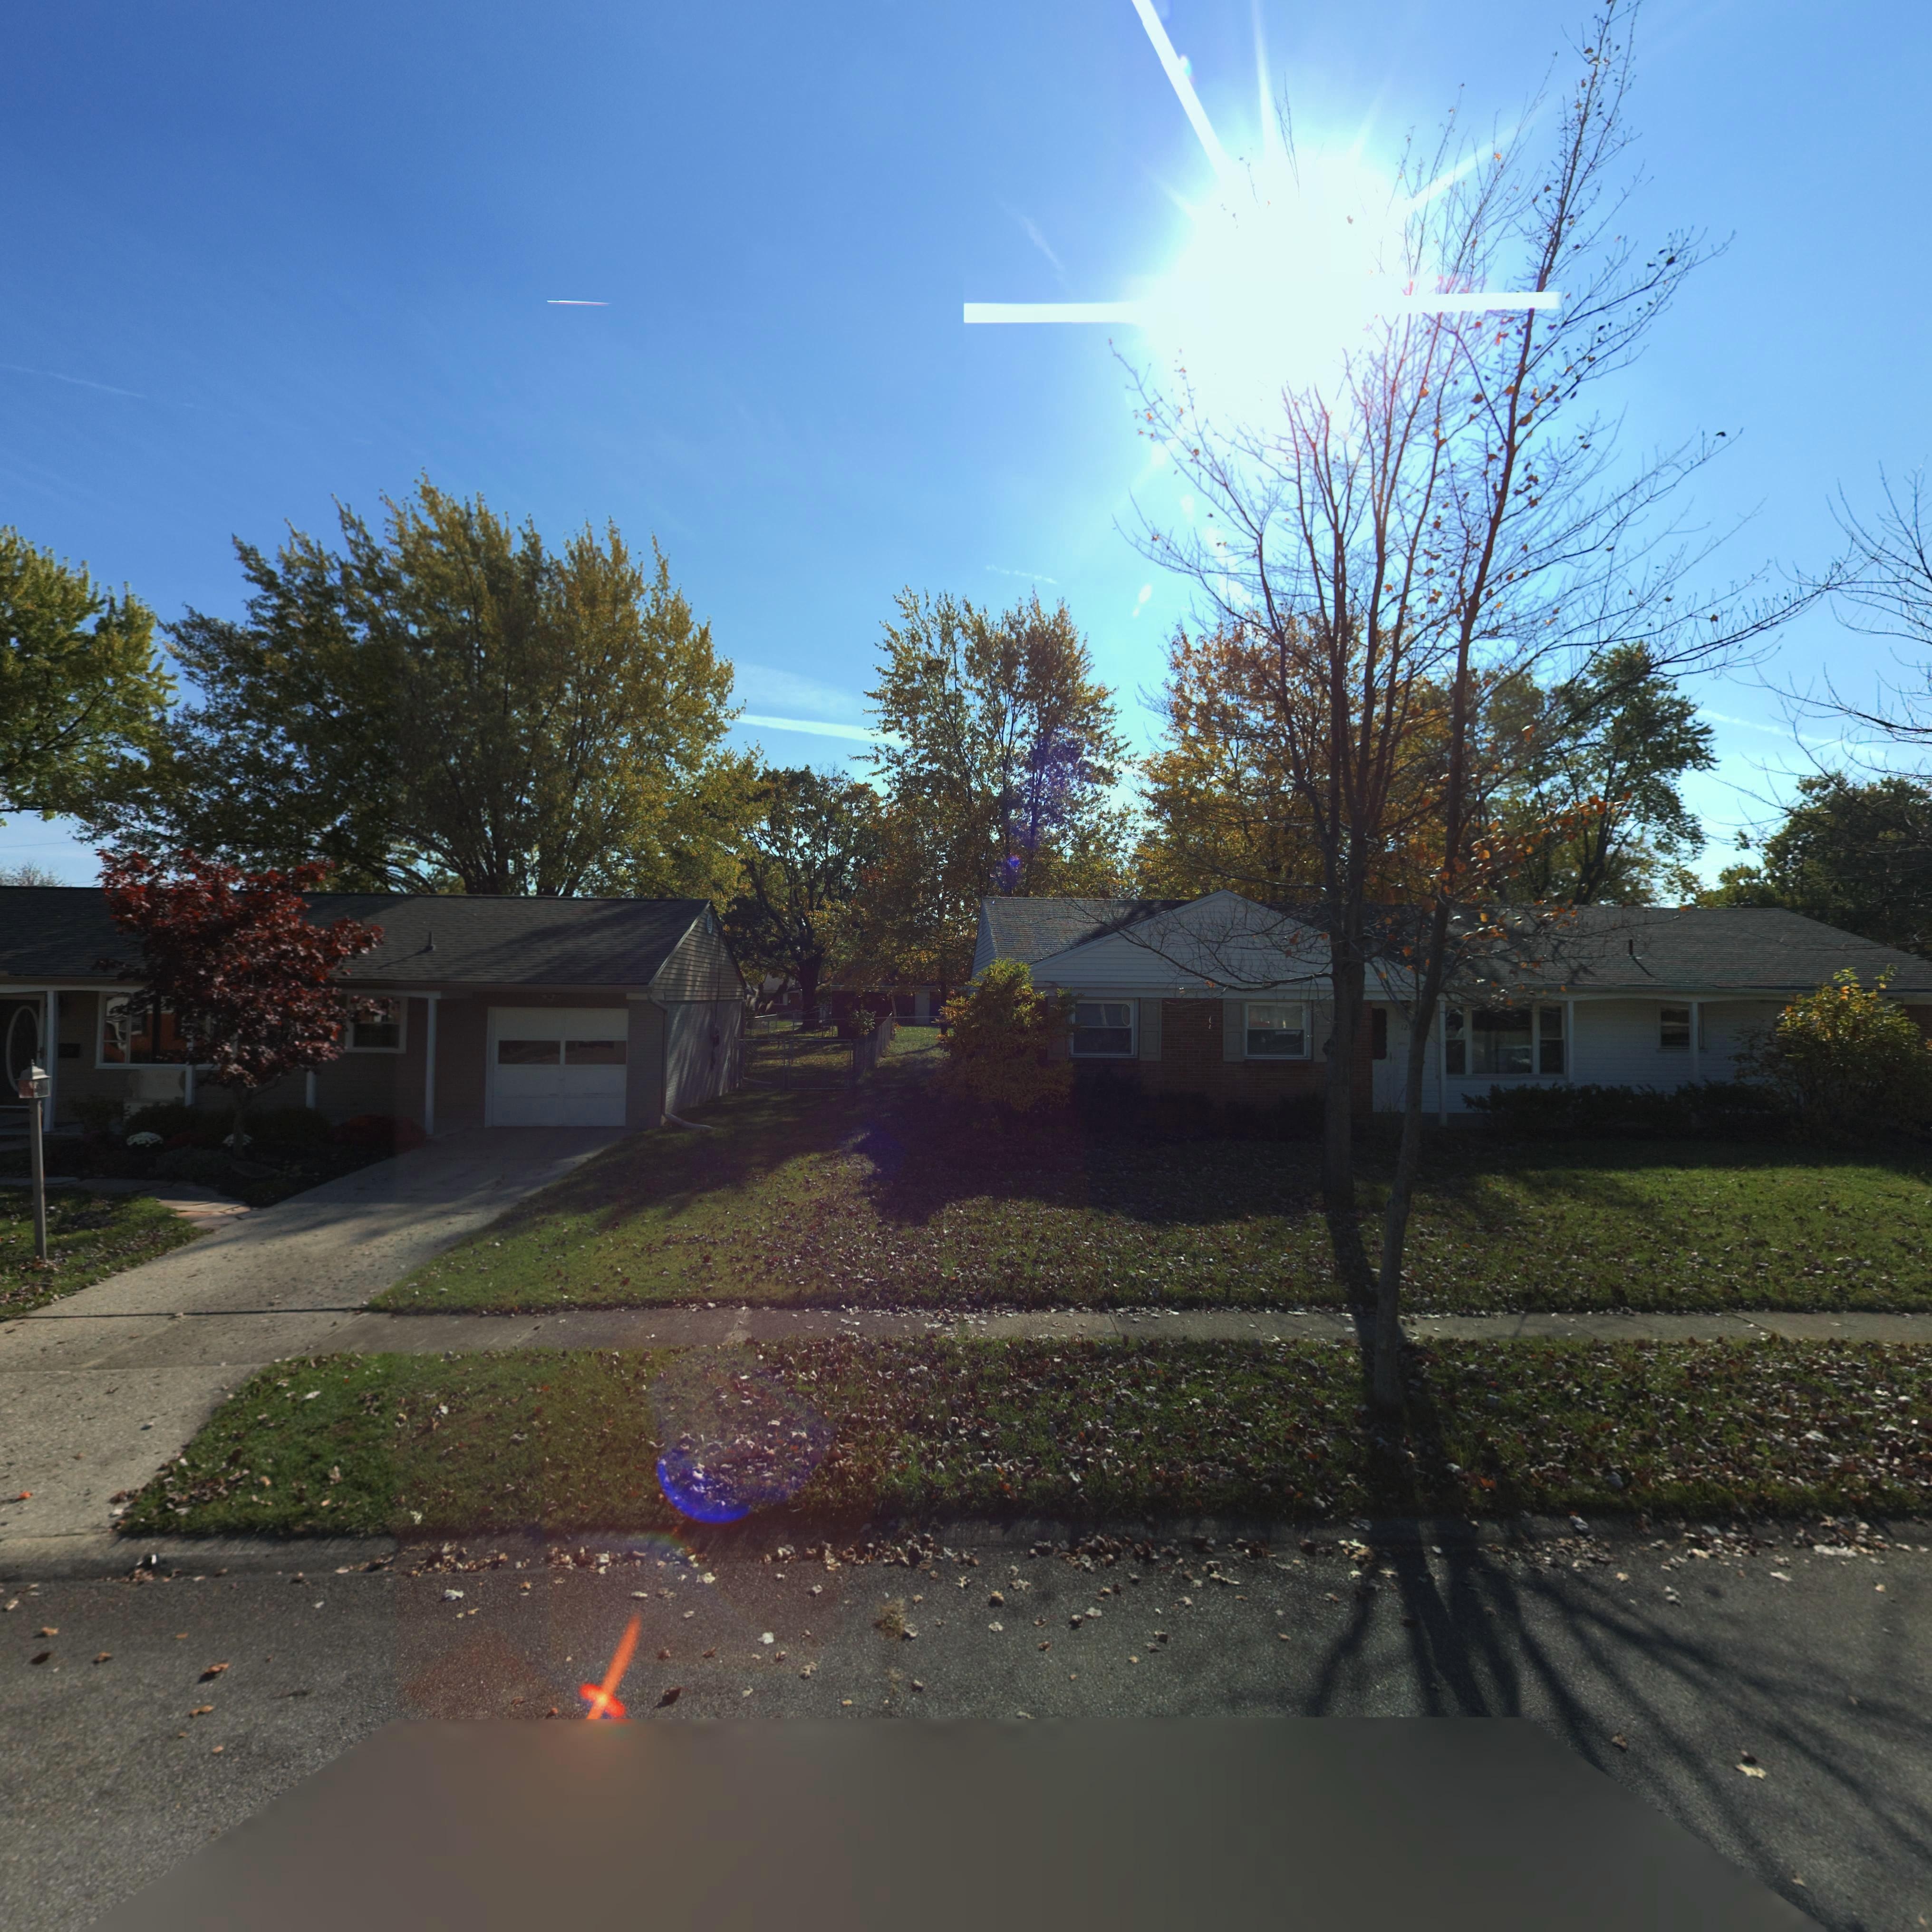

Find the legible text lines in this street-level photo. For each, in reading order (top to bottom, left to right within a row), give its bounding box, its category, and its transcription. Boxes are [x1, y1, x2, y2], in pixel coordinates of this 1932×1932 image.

[1400, 1024, 1408, 1031] StreetNumber: 12